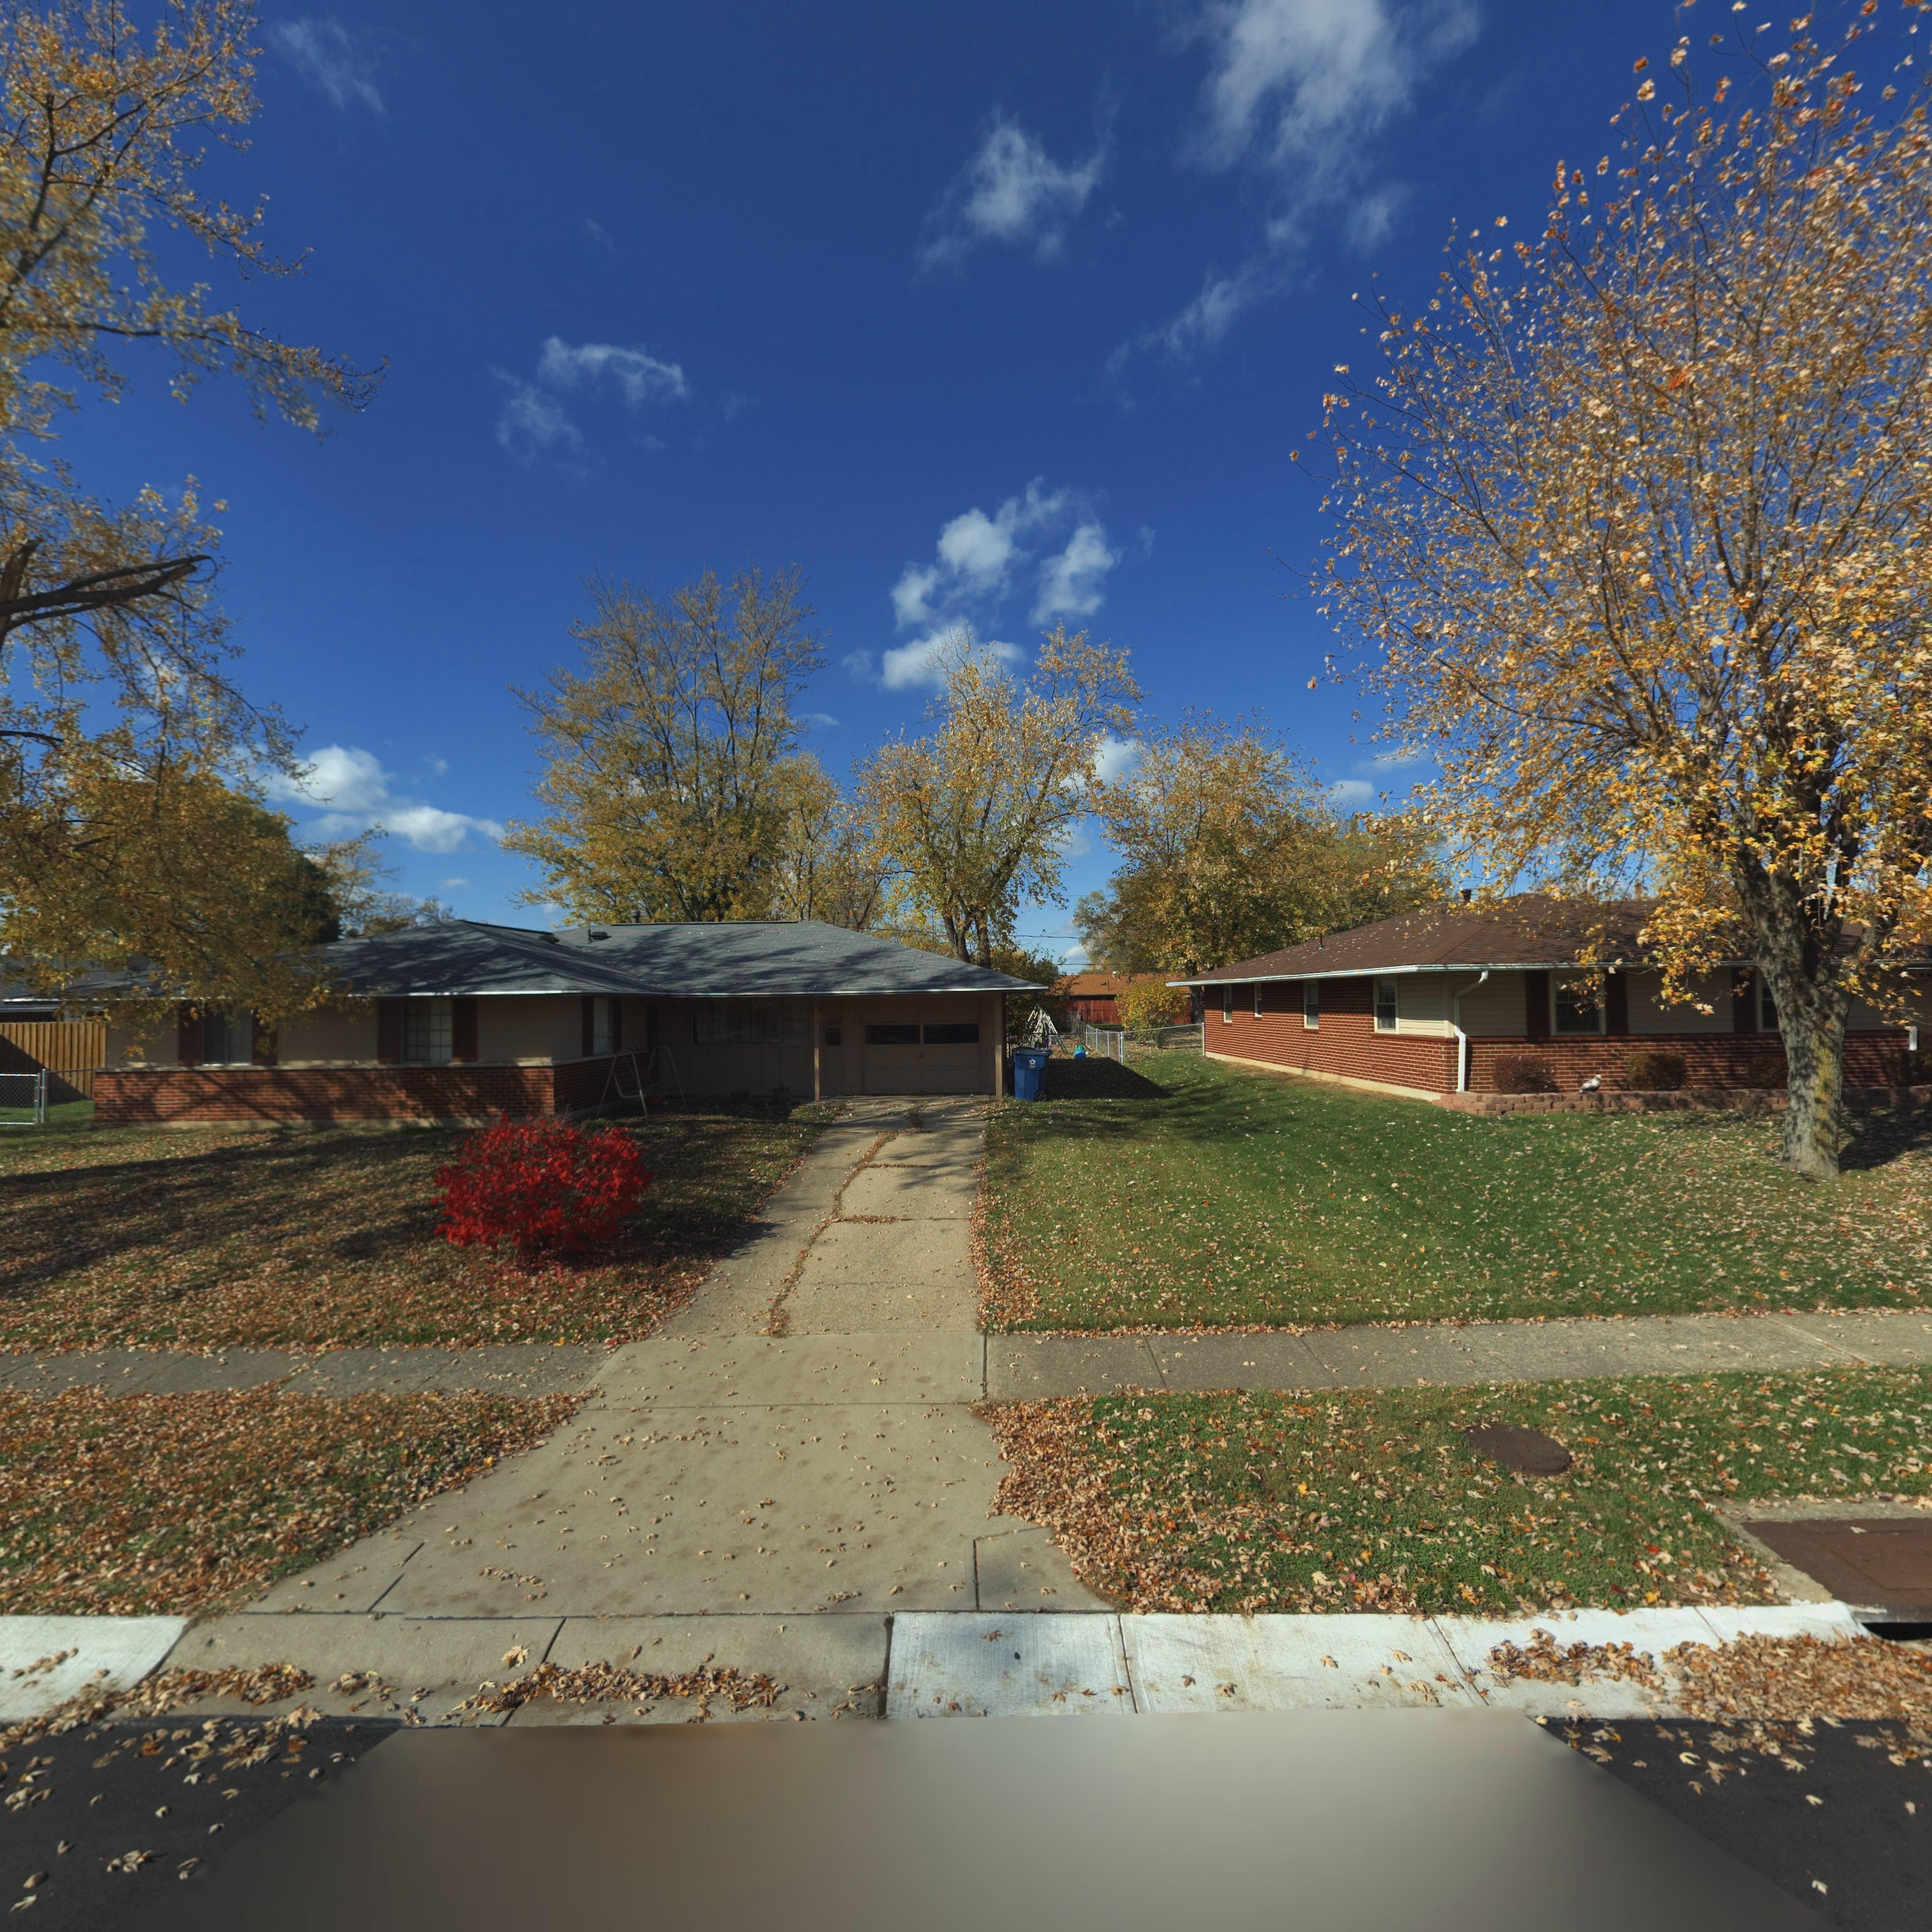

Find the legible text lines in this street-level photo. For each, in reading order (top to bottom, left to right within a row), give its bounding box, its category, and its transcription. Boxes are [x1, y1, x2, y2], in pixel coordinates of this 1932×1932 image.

[827, 1018, 842, 1025] StreetNumber: 7807